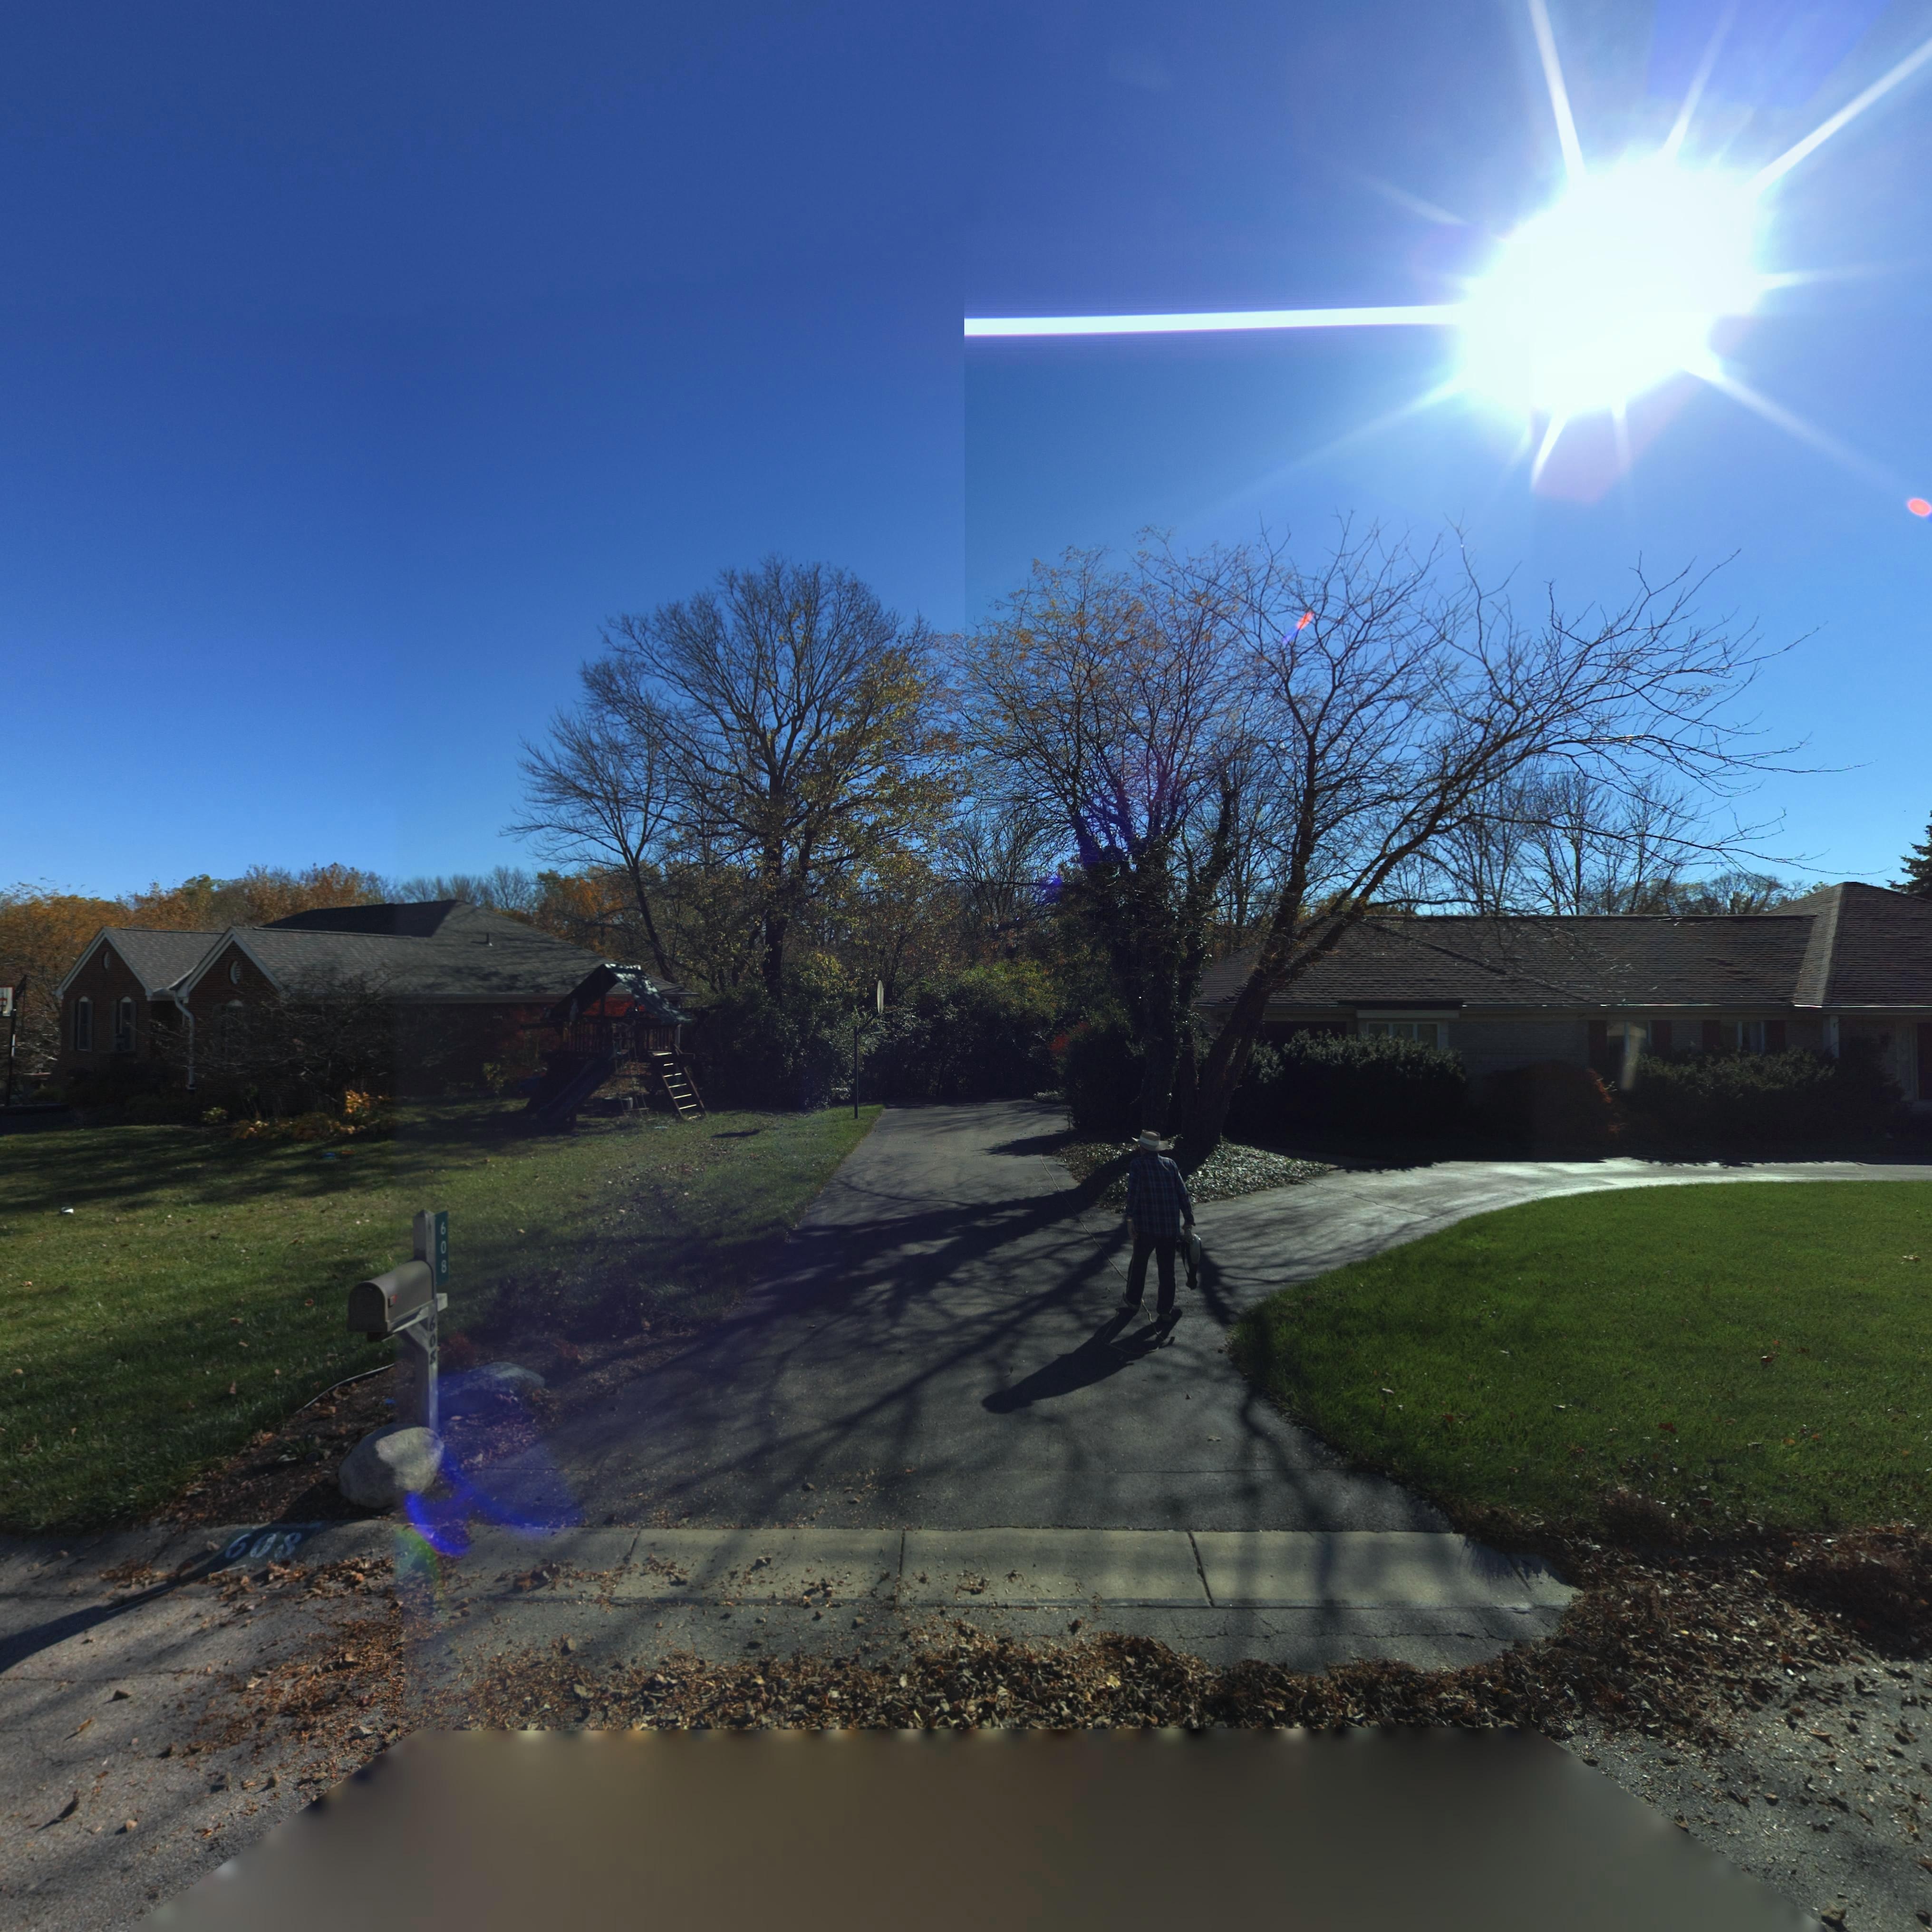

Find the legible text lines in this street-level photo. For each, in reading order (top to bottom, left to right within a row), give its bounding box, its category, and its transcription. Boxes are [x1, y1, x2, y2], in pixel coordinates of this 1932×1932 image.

[439, 1220, 449, 1275] StreetNumber: 608
[426, 1312, 438, 1366] StreetNumber: 608
[222, 1530, 303, 1562] StreetNumber: 608